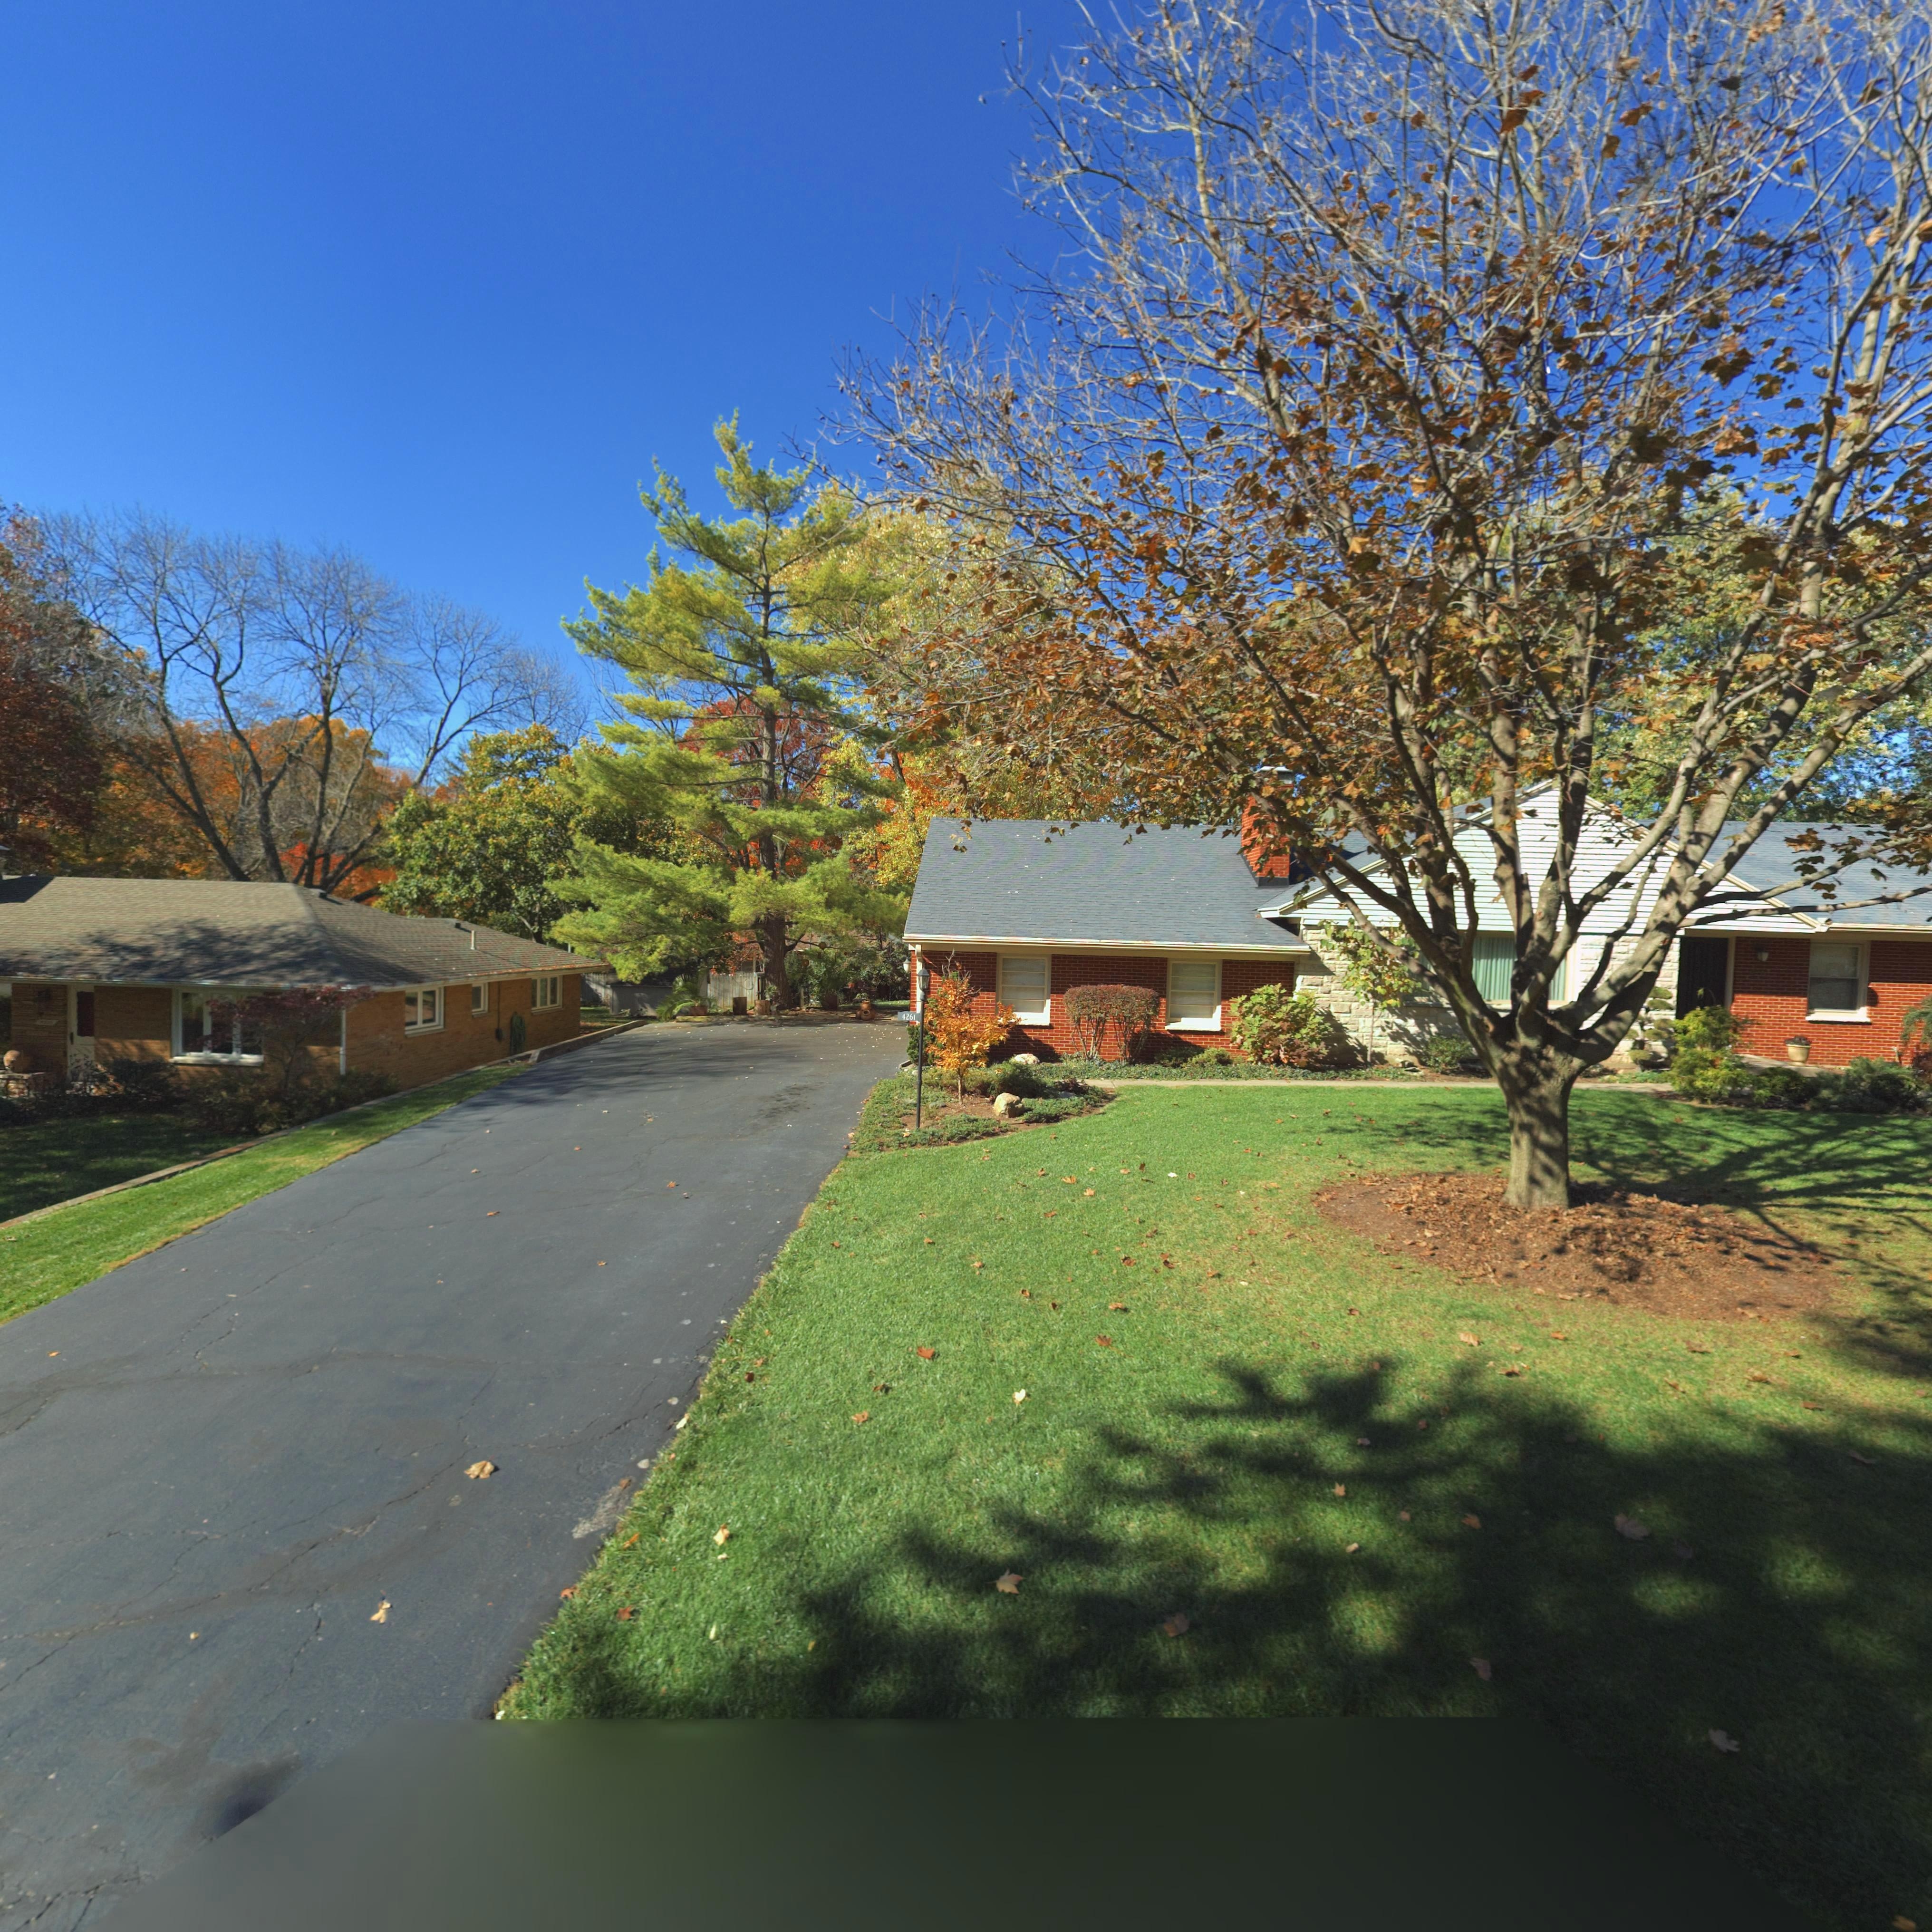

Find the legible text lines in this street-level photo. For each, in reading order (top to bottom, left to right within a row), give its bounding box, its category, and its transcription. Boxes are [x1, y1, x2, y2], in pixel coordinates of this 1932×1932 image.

[1759, 967, 1771, 978] StreetNumber: 61
[901, 1013, 916, 1021] StreetNumber: 4261